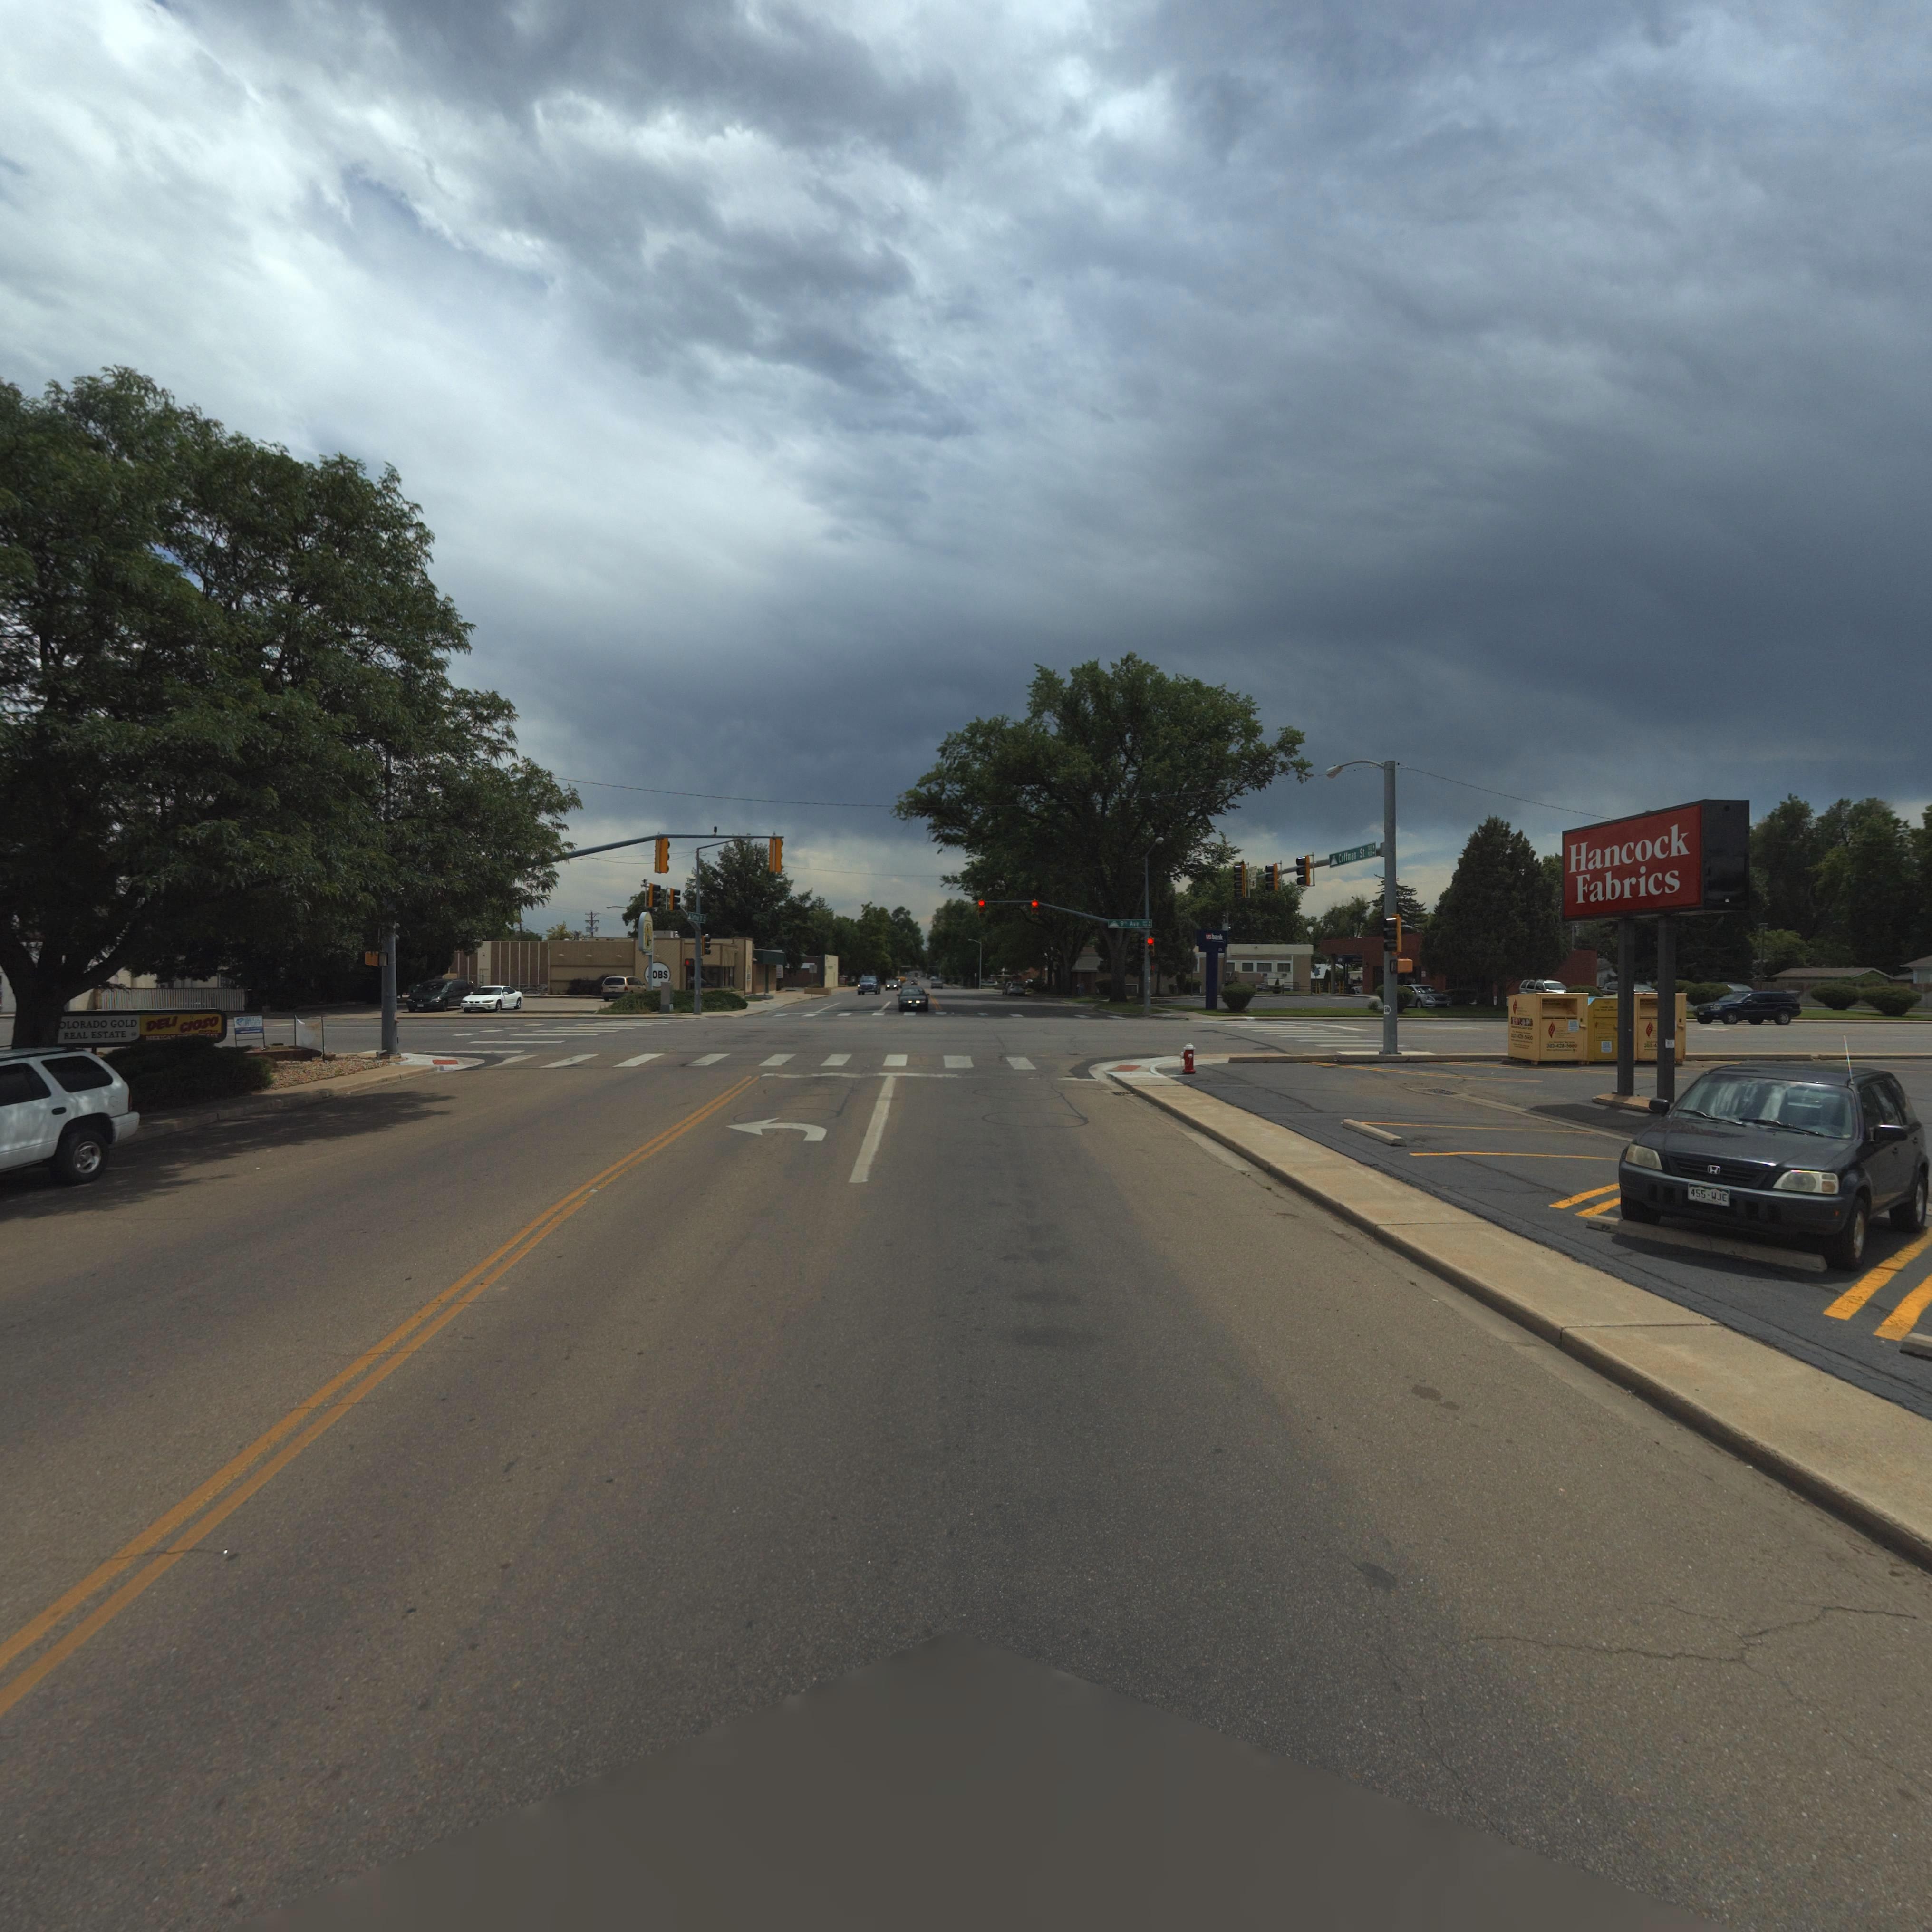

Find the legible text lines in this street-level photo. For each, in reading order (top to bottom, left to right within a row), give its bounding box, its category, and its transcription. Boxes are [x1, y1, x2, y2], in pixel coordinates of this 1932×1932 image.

[1367, 844, 1372, 851] StreetNumberRange: 700
[1567, 821, 1692, 874] BusinessName: Hancock
[1338, 847, 1365, 863] StreetName: Co***** St
[1575, 865, 1681, 905] BusinessName: Fabrics
[1120, 920, 1139, 927] StreetName: 9* Ave
[1205, 933, 1223, 940] BusinessName: usbank
[58, 1018, 137, 1029] BusinessName: OLORADO GOLD
[145, 1014, 179, 1033] BusinessName: DELI
[179, 1015, 219, 1033] BusinessName: CIOSO
[62, 1030, 126, 1040] BusinessName: REAL ESTATE
[145, 1034, 176, 1040] BusinessName: MEXICA*